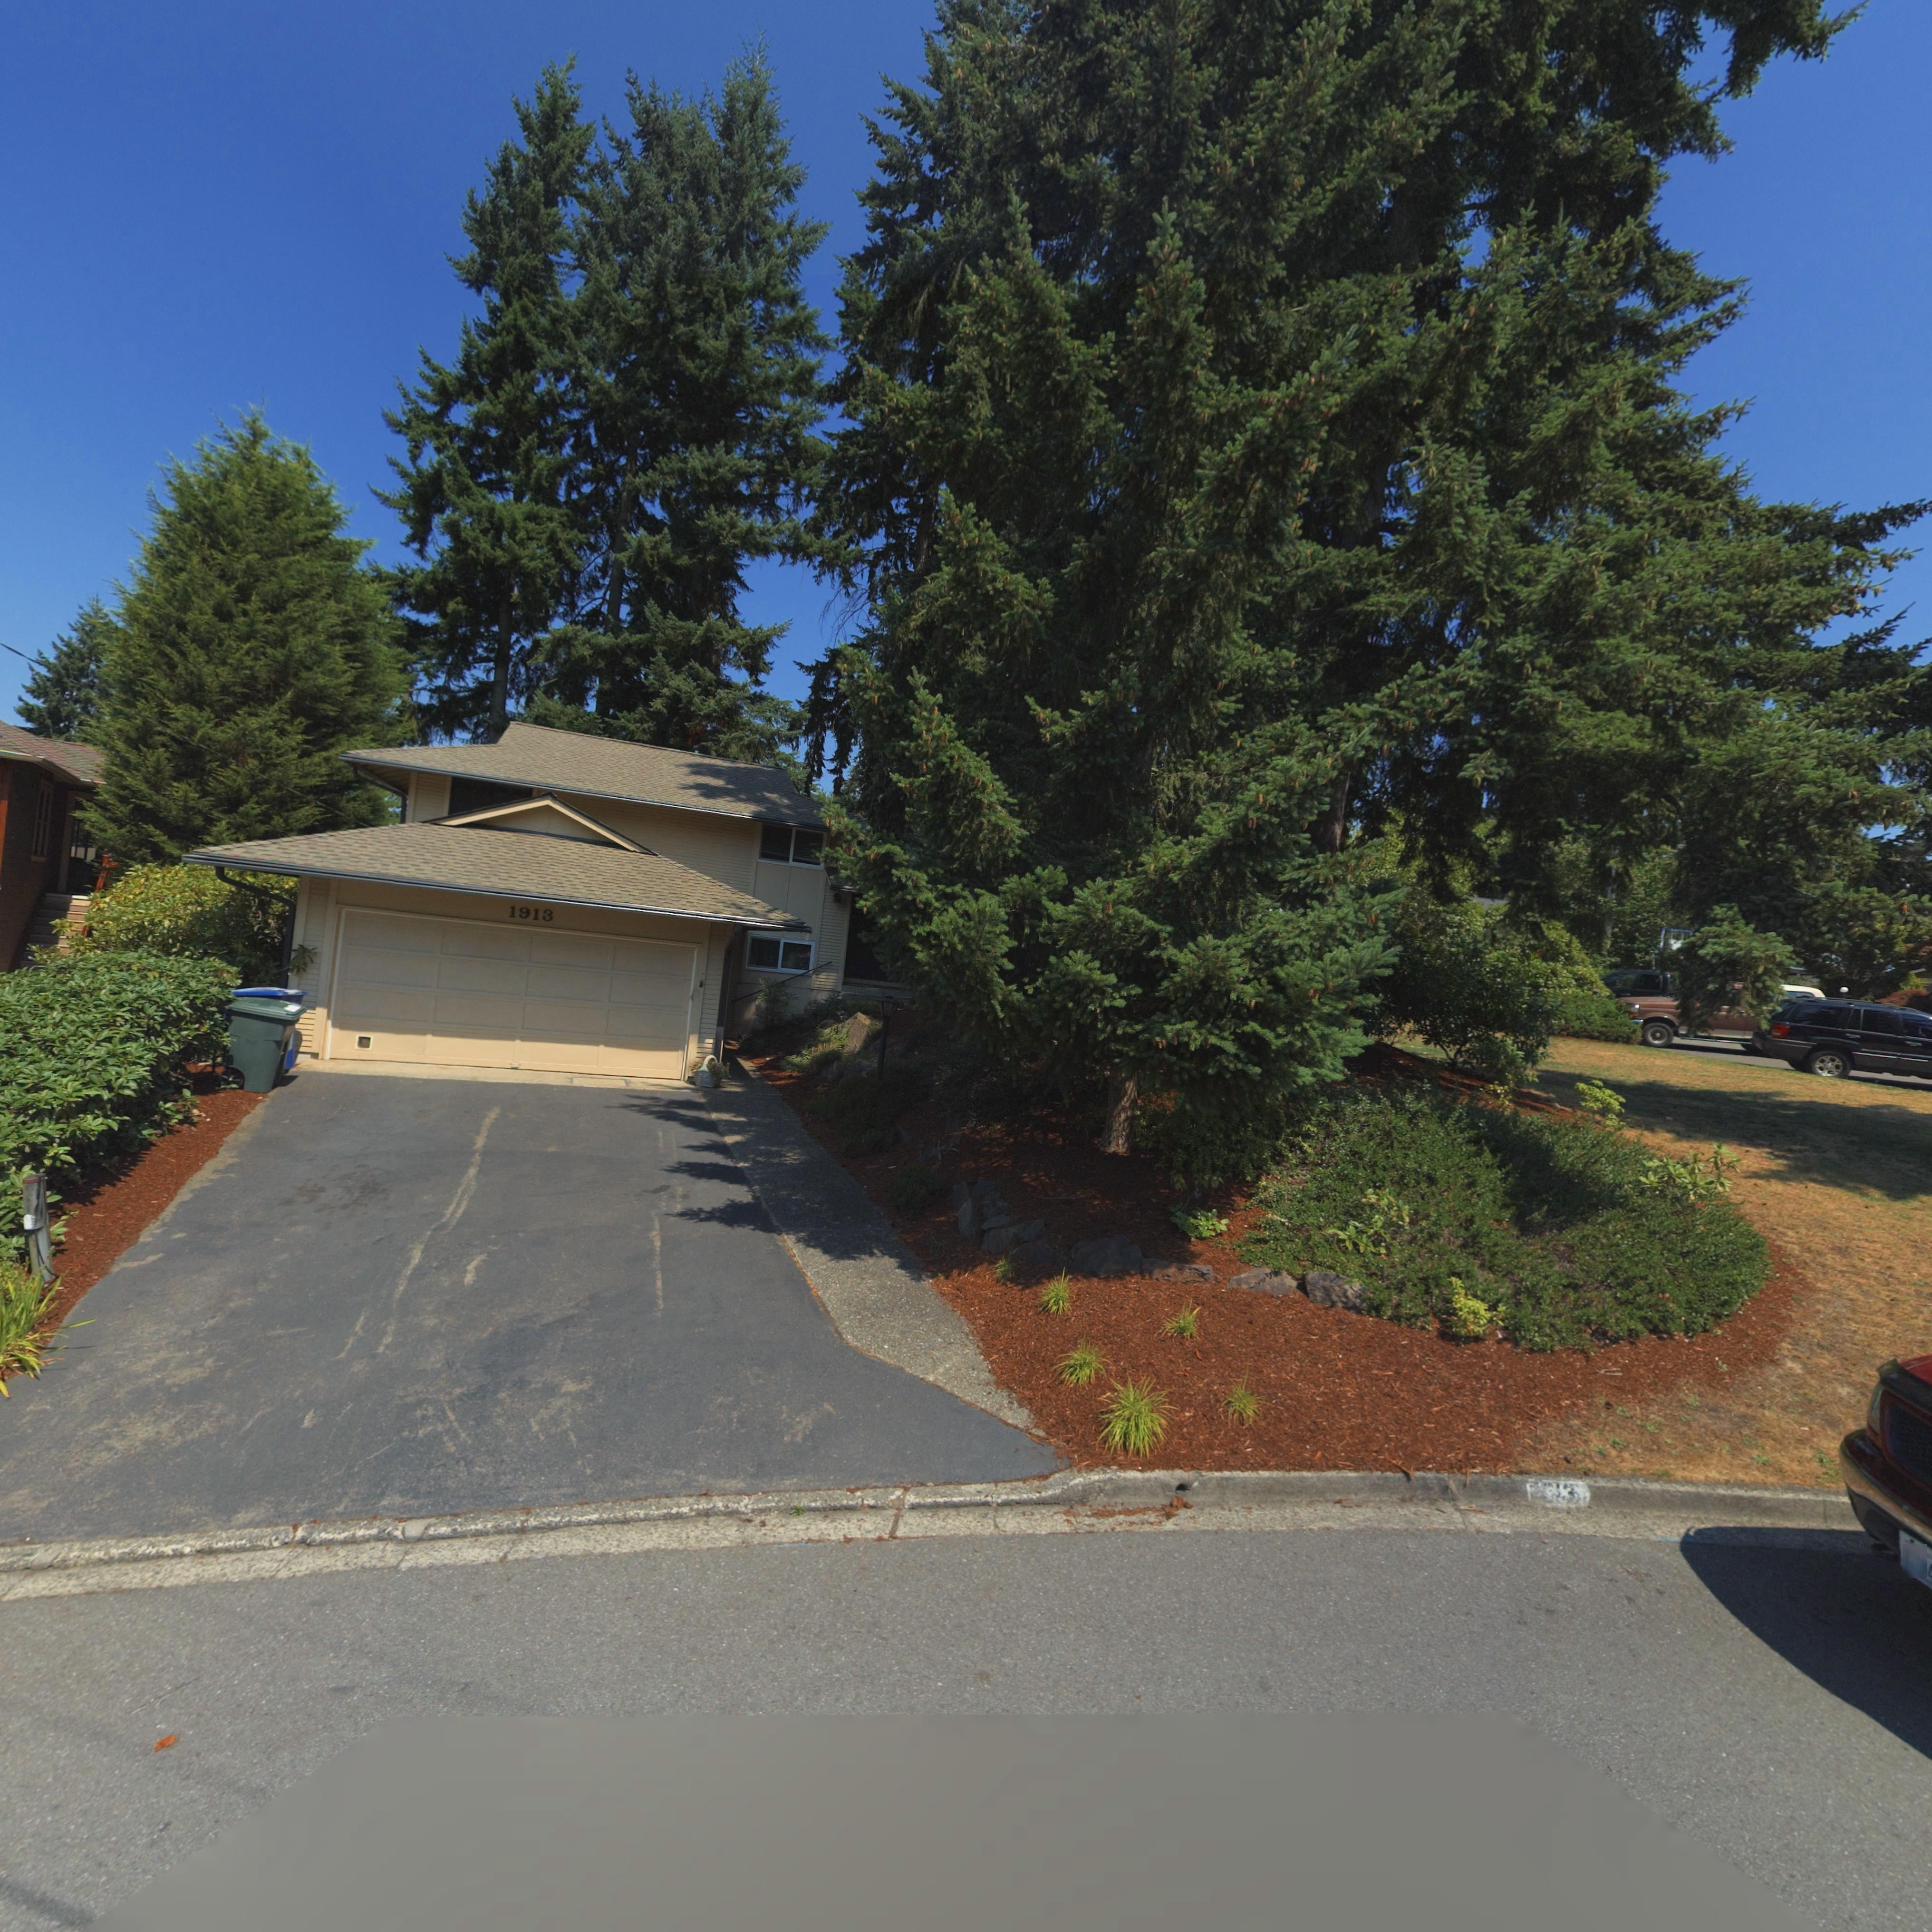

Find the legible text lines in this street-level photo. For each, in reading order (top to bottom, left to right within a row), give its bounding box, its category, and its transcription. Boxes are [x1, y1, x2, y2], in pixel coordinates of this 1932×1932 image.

[508, 903, 555, 923] StreetNumber: 1913